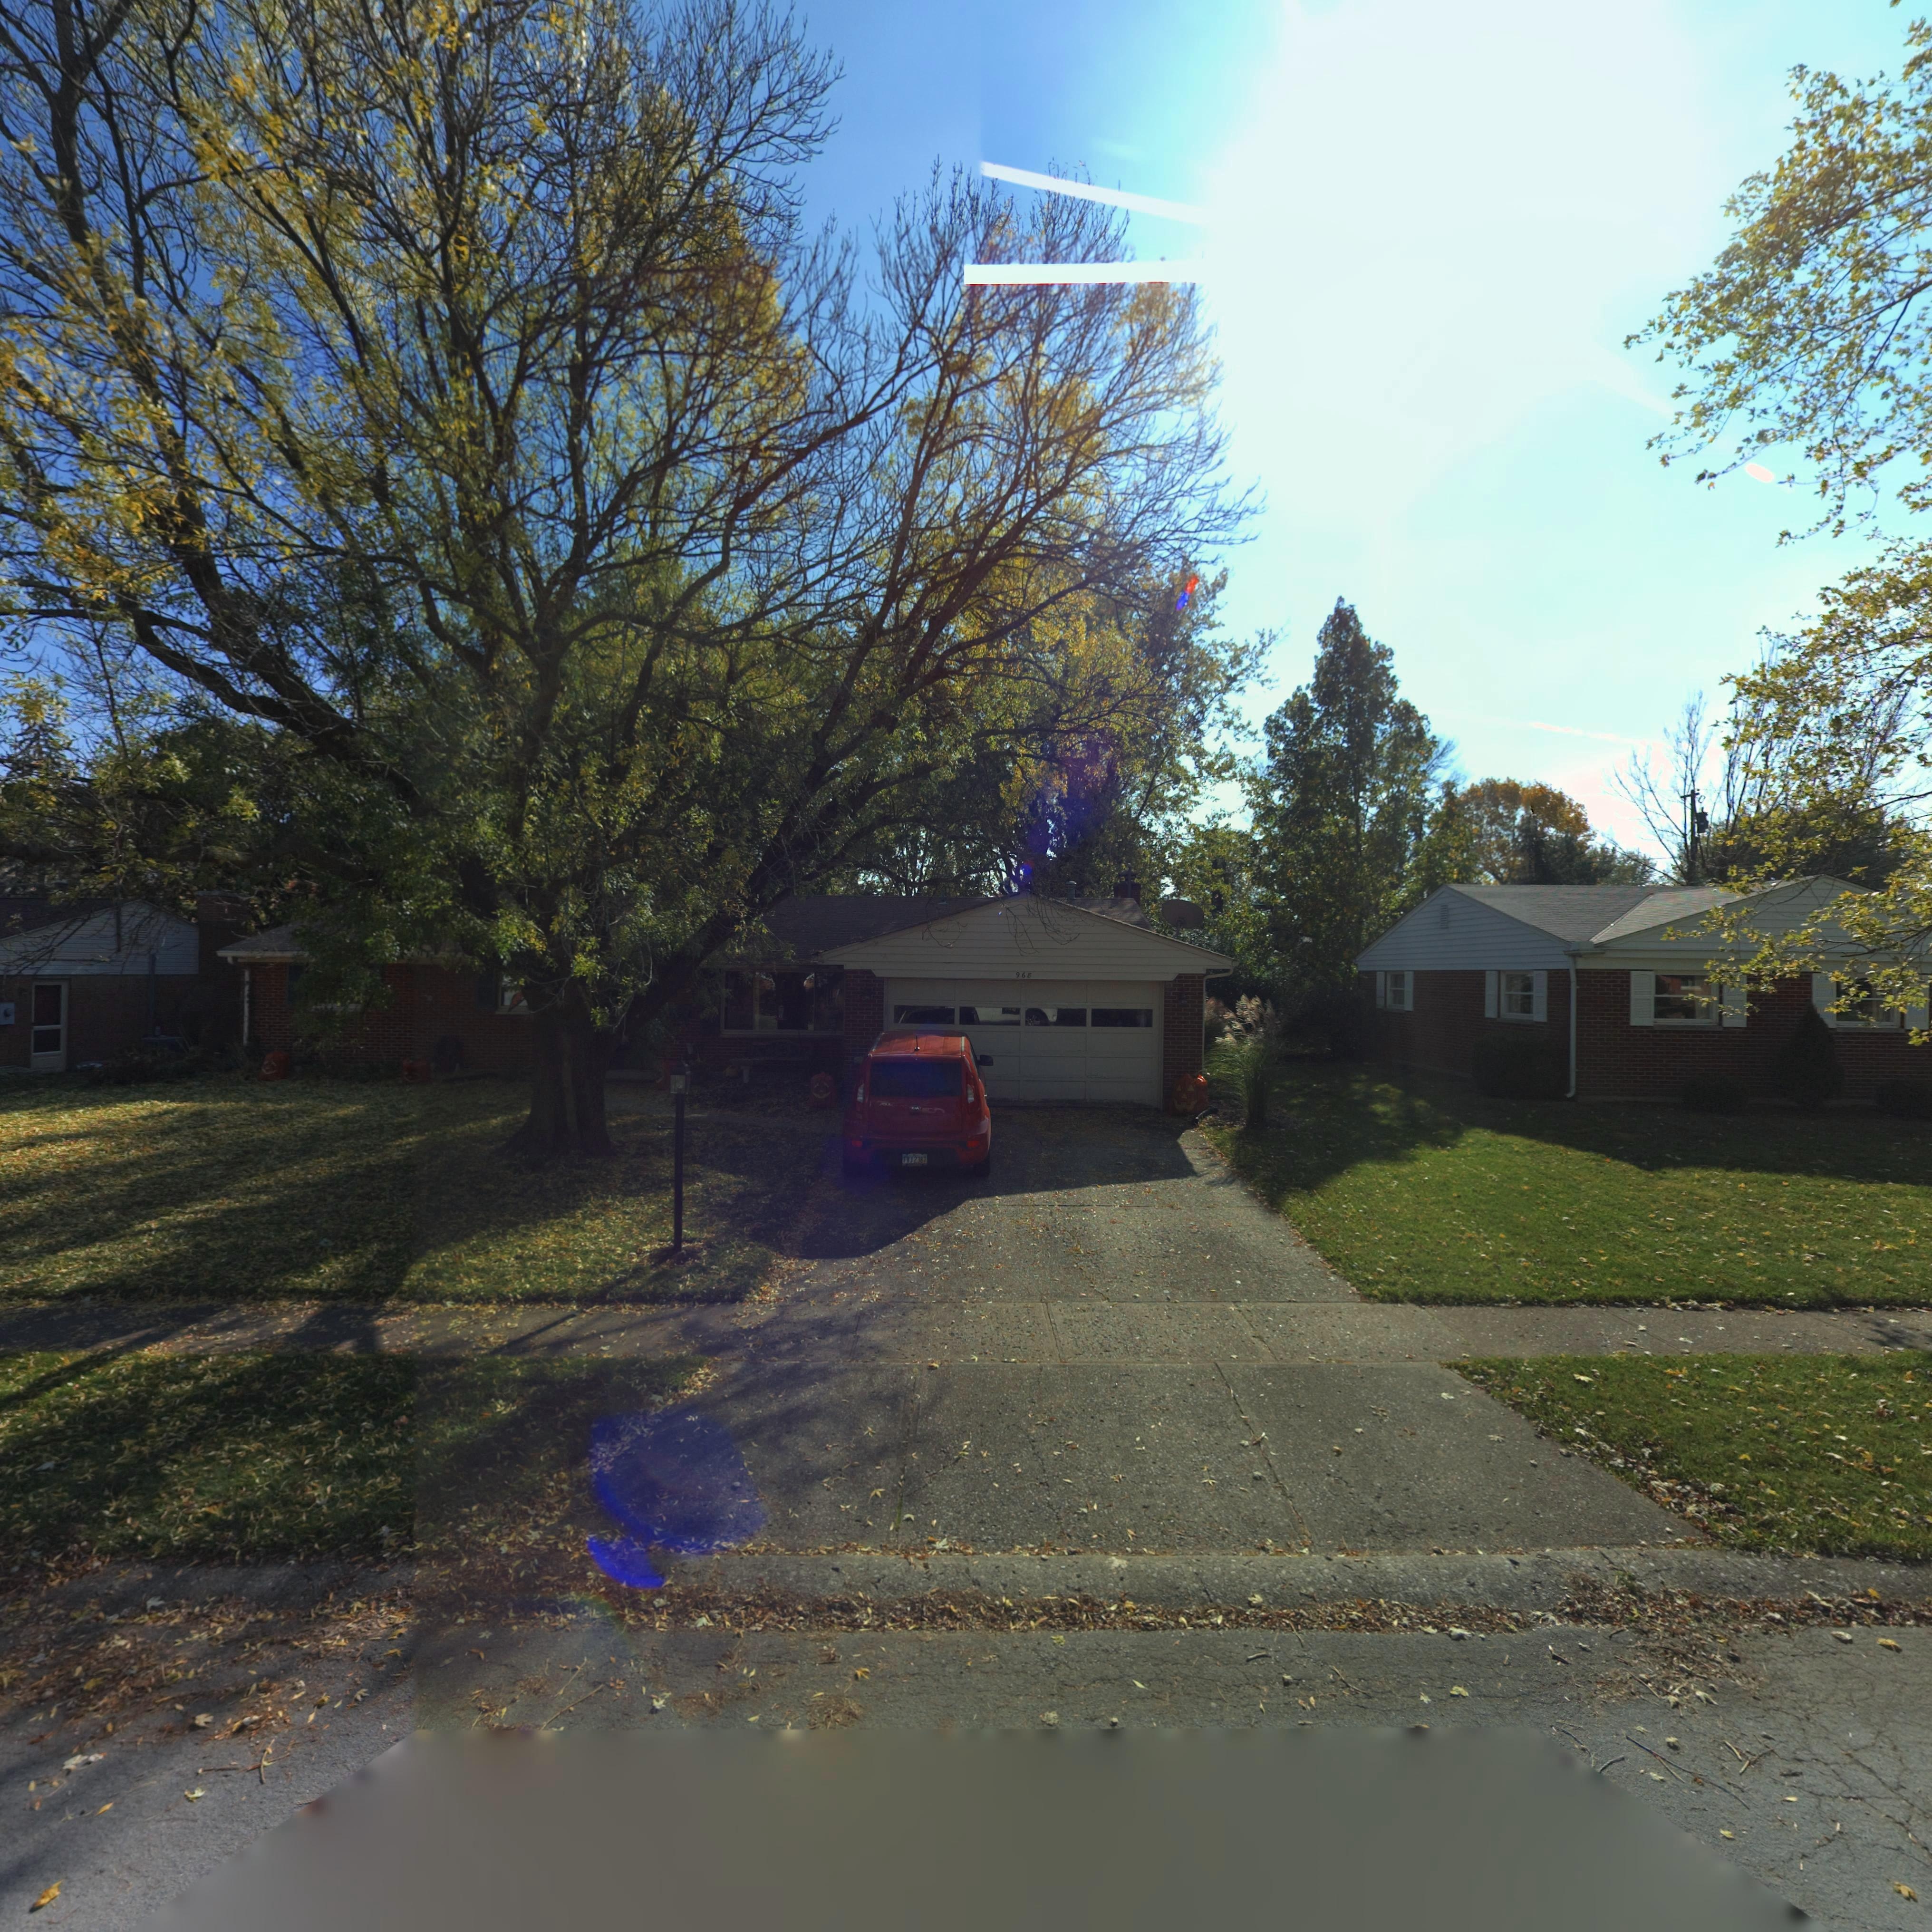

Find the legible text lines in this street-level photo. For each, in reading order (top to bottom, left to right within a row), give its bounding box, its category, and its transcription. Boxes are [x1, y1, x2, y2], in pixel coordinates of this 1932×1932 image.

[1015, 971, 1033, 978] StreetNumber: 968